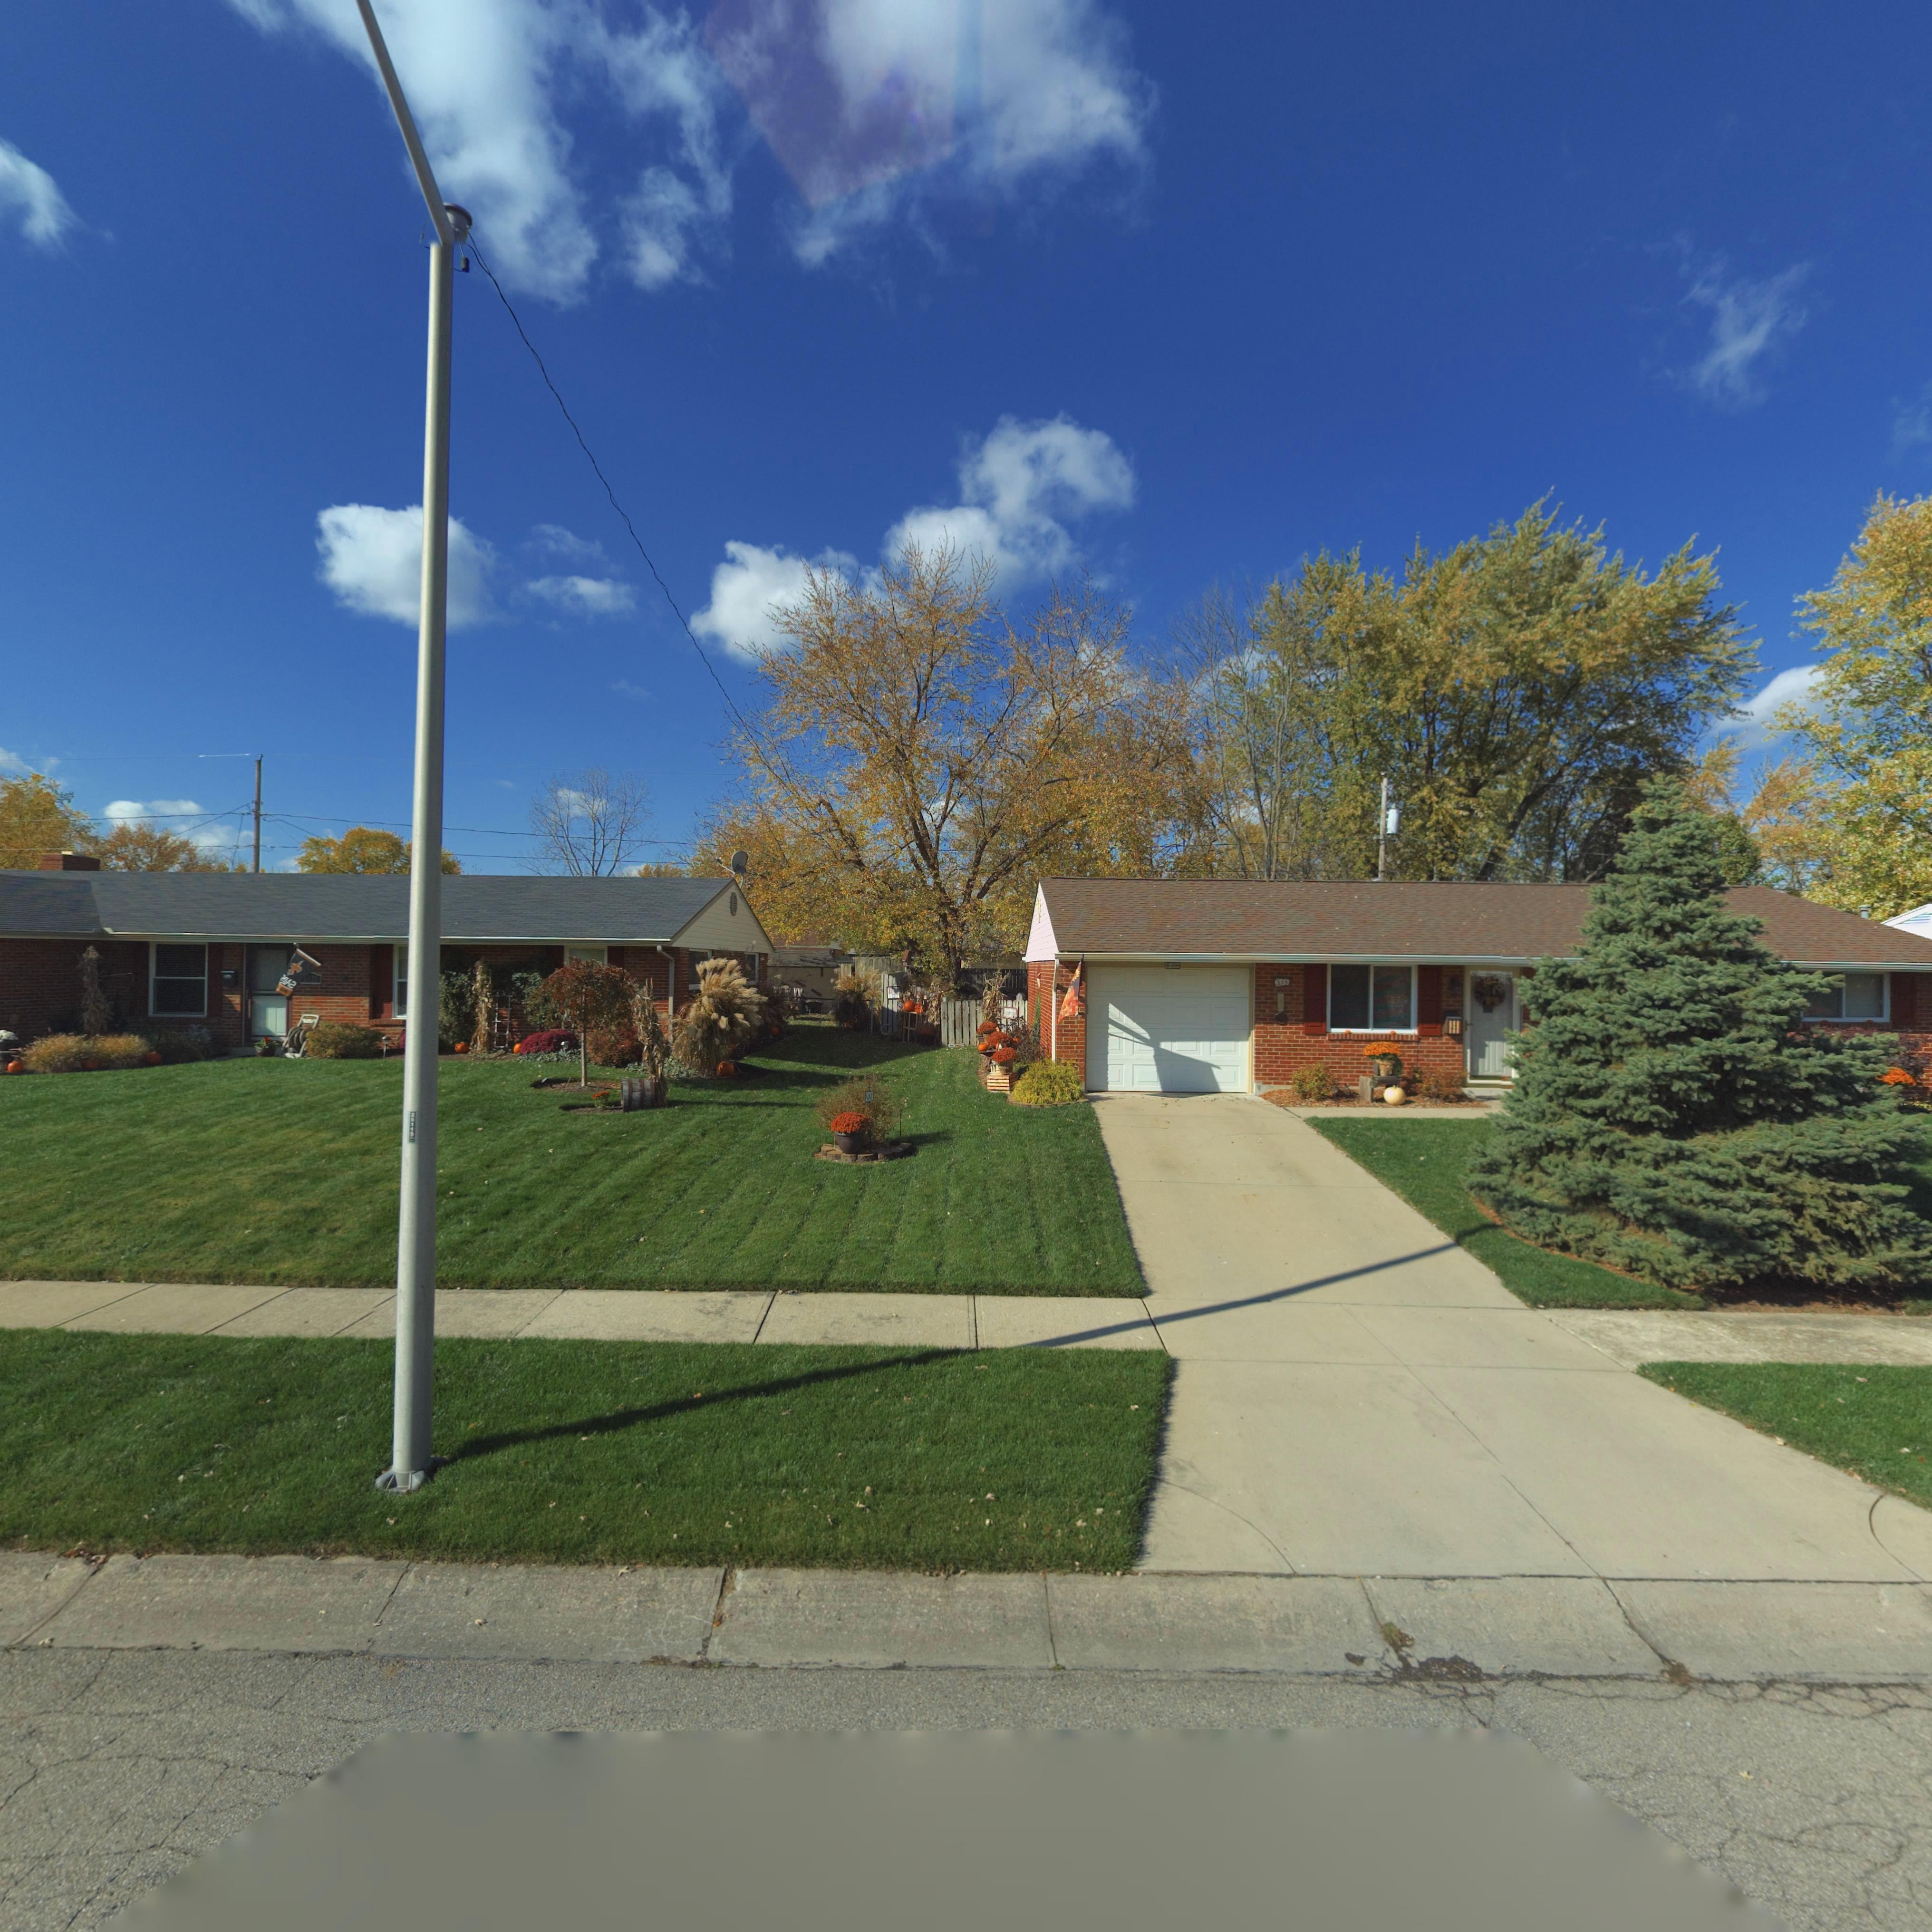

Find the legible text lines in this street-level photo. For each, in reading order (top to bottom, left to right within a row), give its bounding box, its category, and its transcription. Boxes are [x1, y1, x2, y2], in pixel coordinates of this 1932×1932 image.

[1274, 978, 1291, 987] StreetNumber: 6933